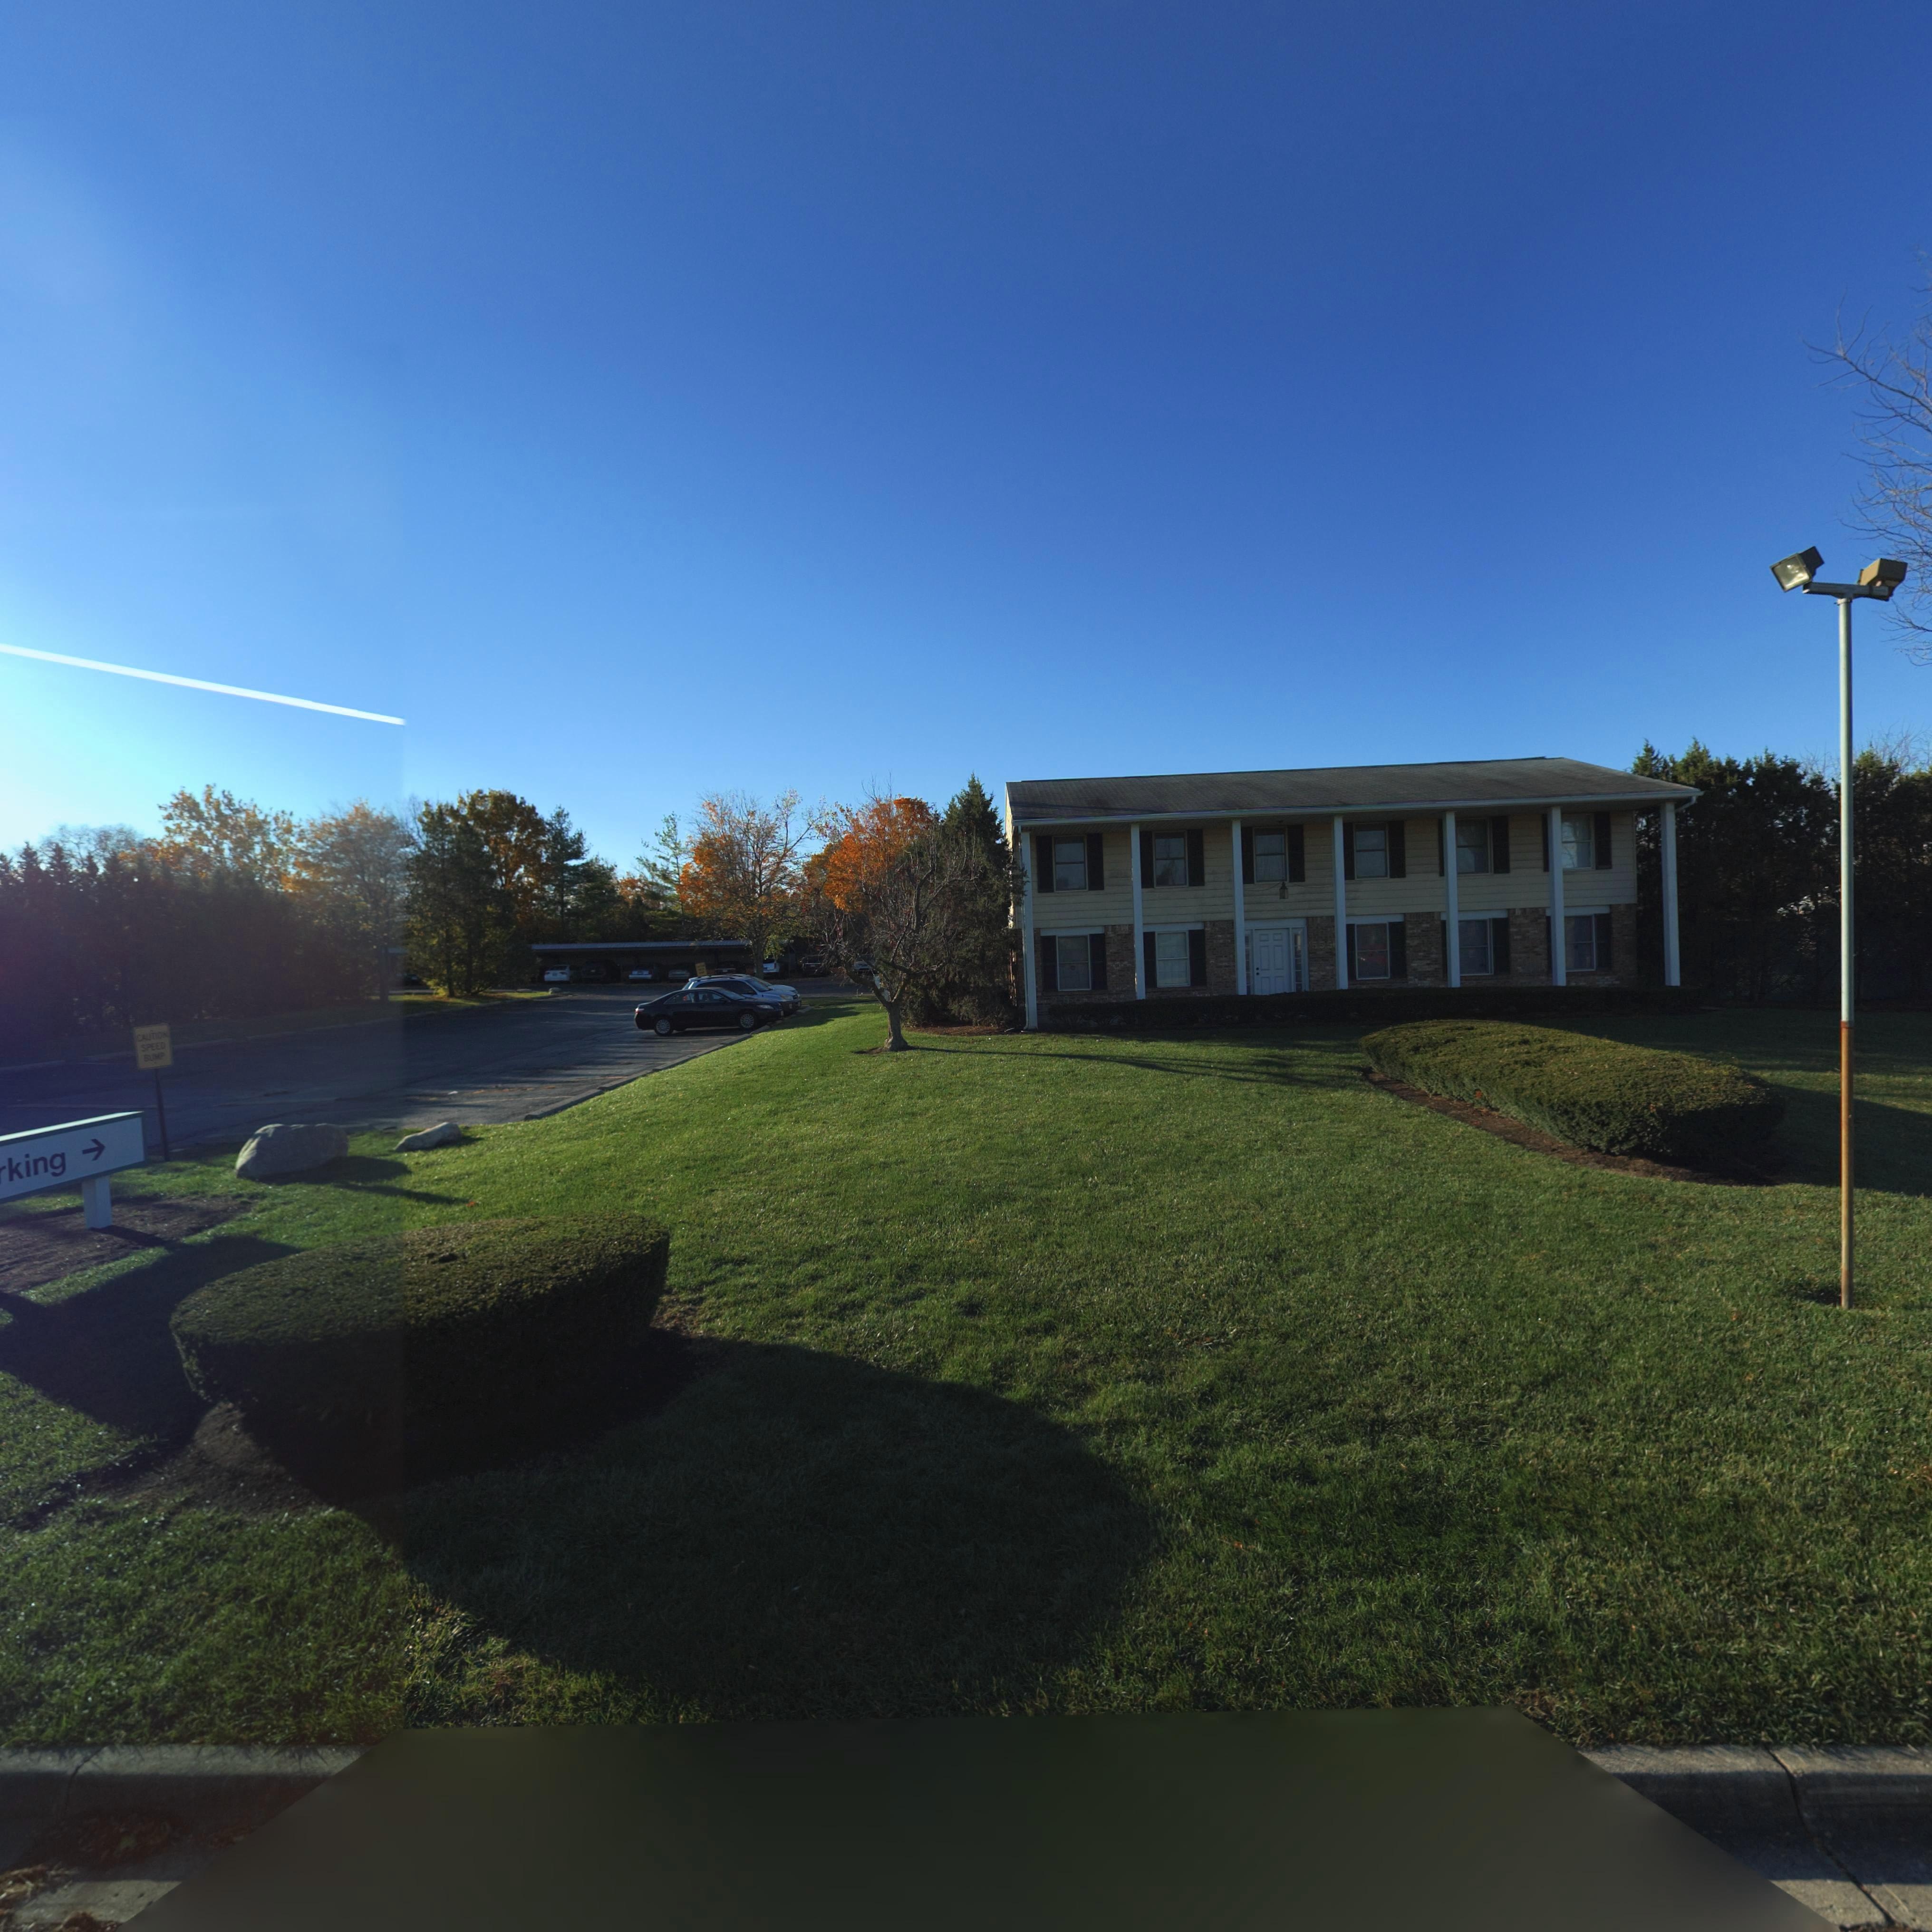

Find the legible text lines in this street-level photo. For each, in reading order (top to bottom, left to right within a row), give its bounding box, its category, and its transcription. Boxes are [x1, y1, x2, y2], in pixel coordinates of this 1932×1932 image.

[1311, 940, 1333, 950] StreetNumber: 555